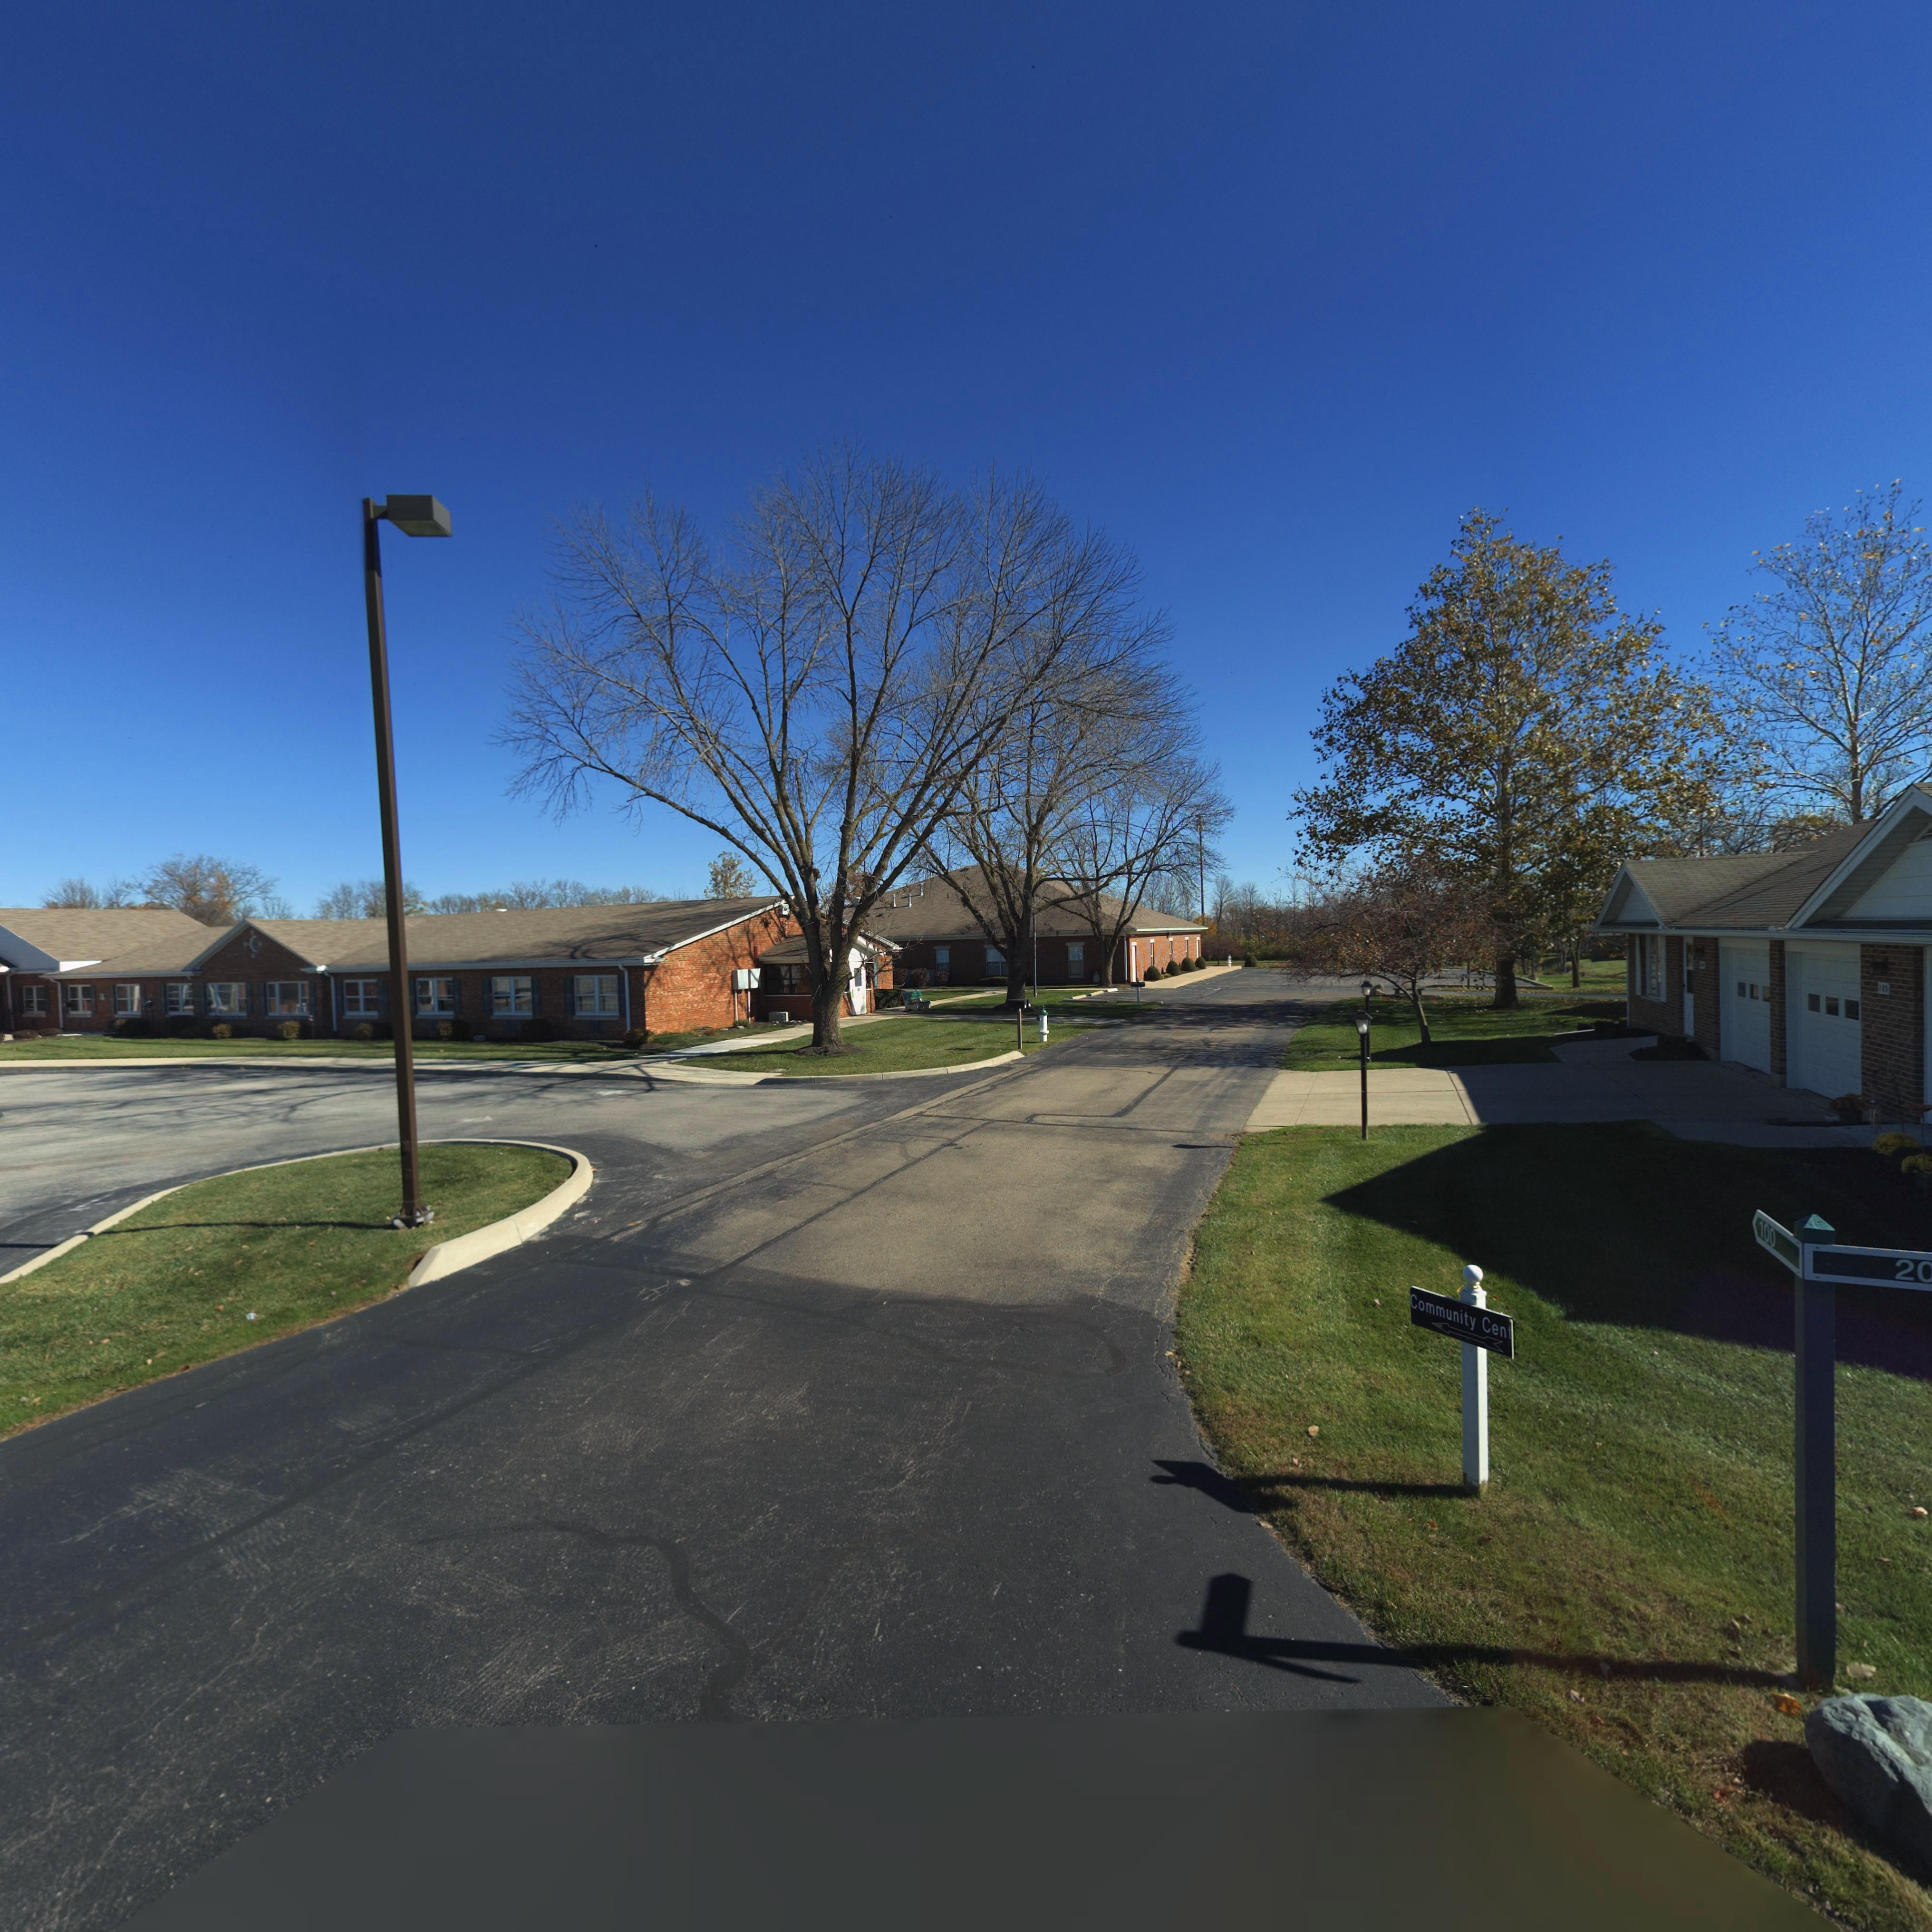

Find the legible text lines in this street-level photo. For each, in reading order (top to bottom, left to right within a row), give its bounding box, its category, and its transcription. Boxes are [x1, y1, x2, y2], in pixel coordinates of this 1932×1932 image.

[1758, 1219, 1777, 1250] StreetNumber: 100
[1893, 1257, 1916, 1283] StreetNumber: 2